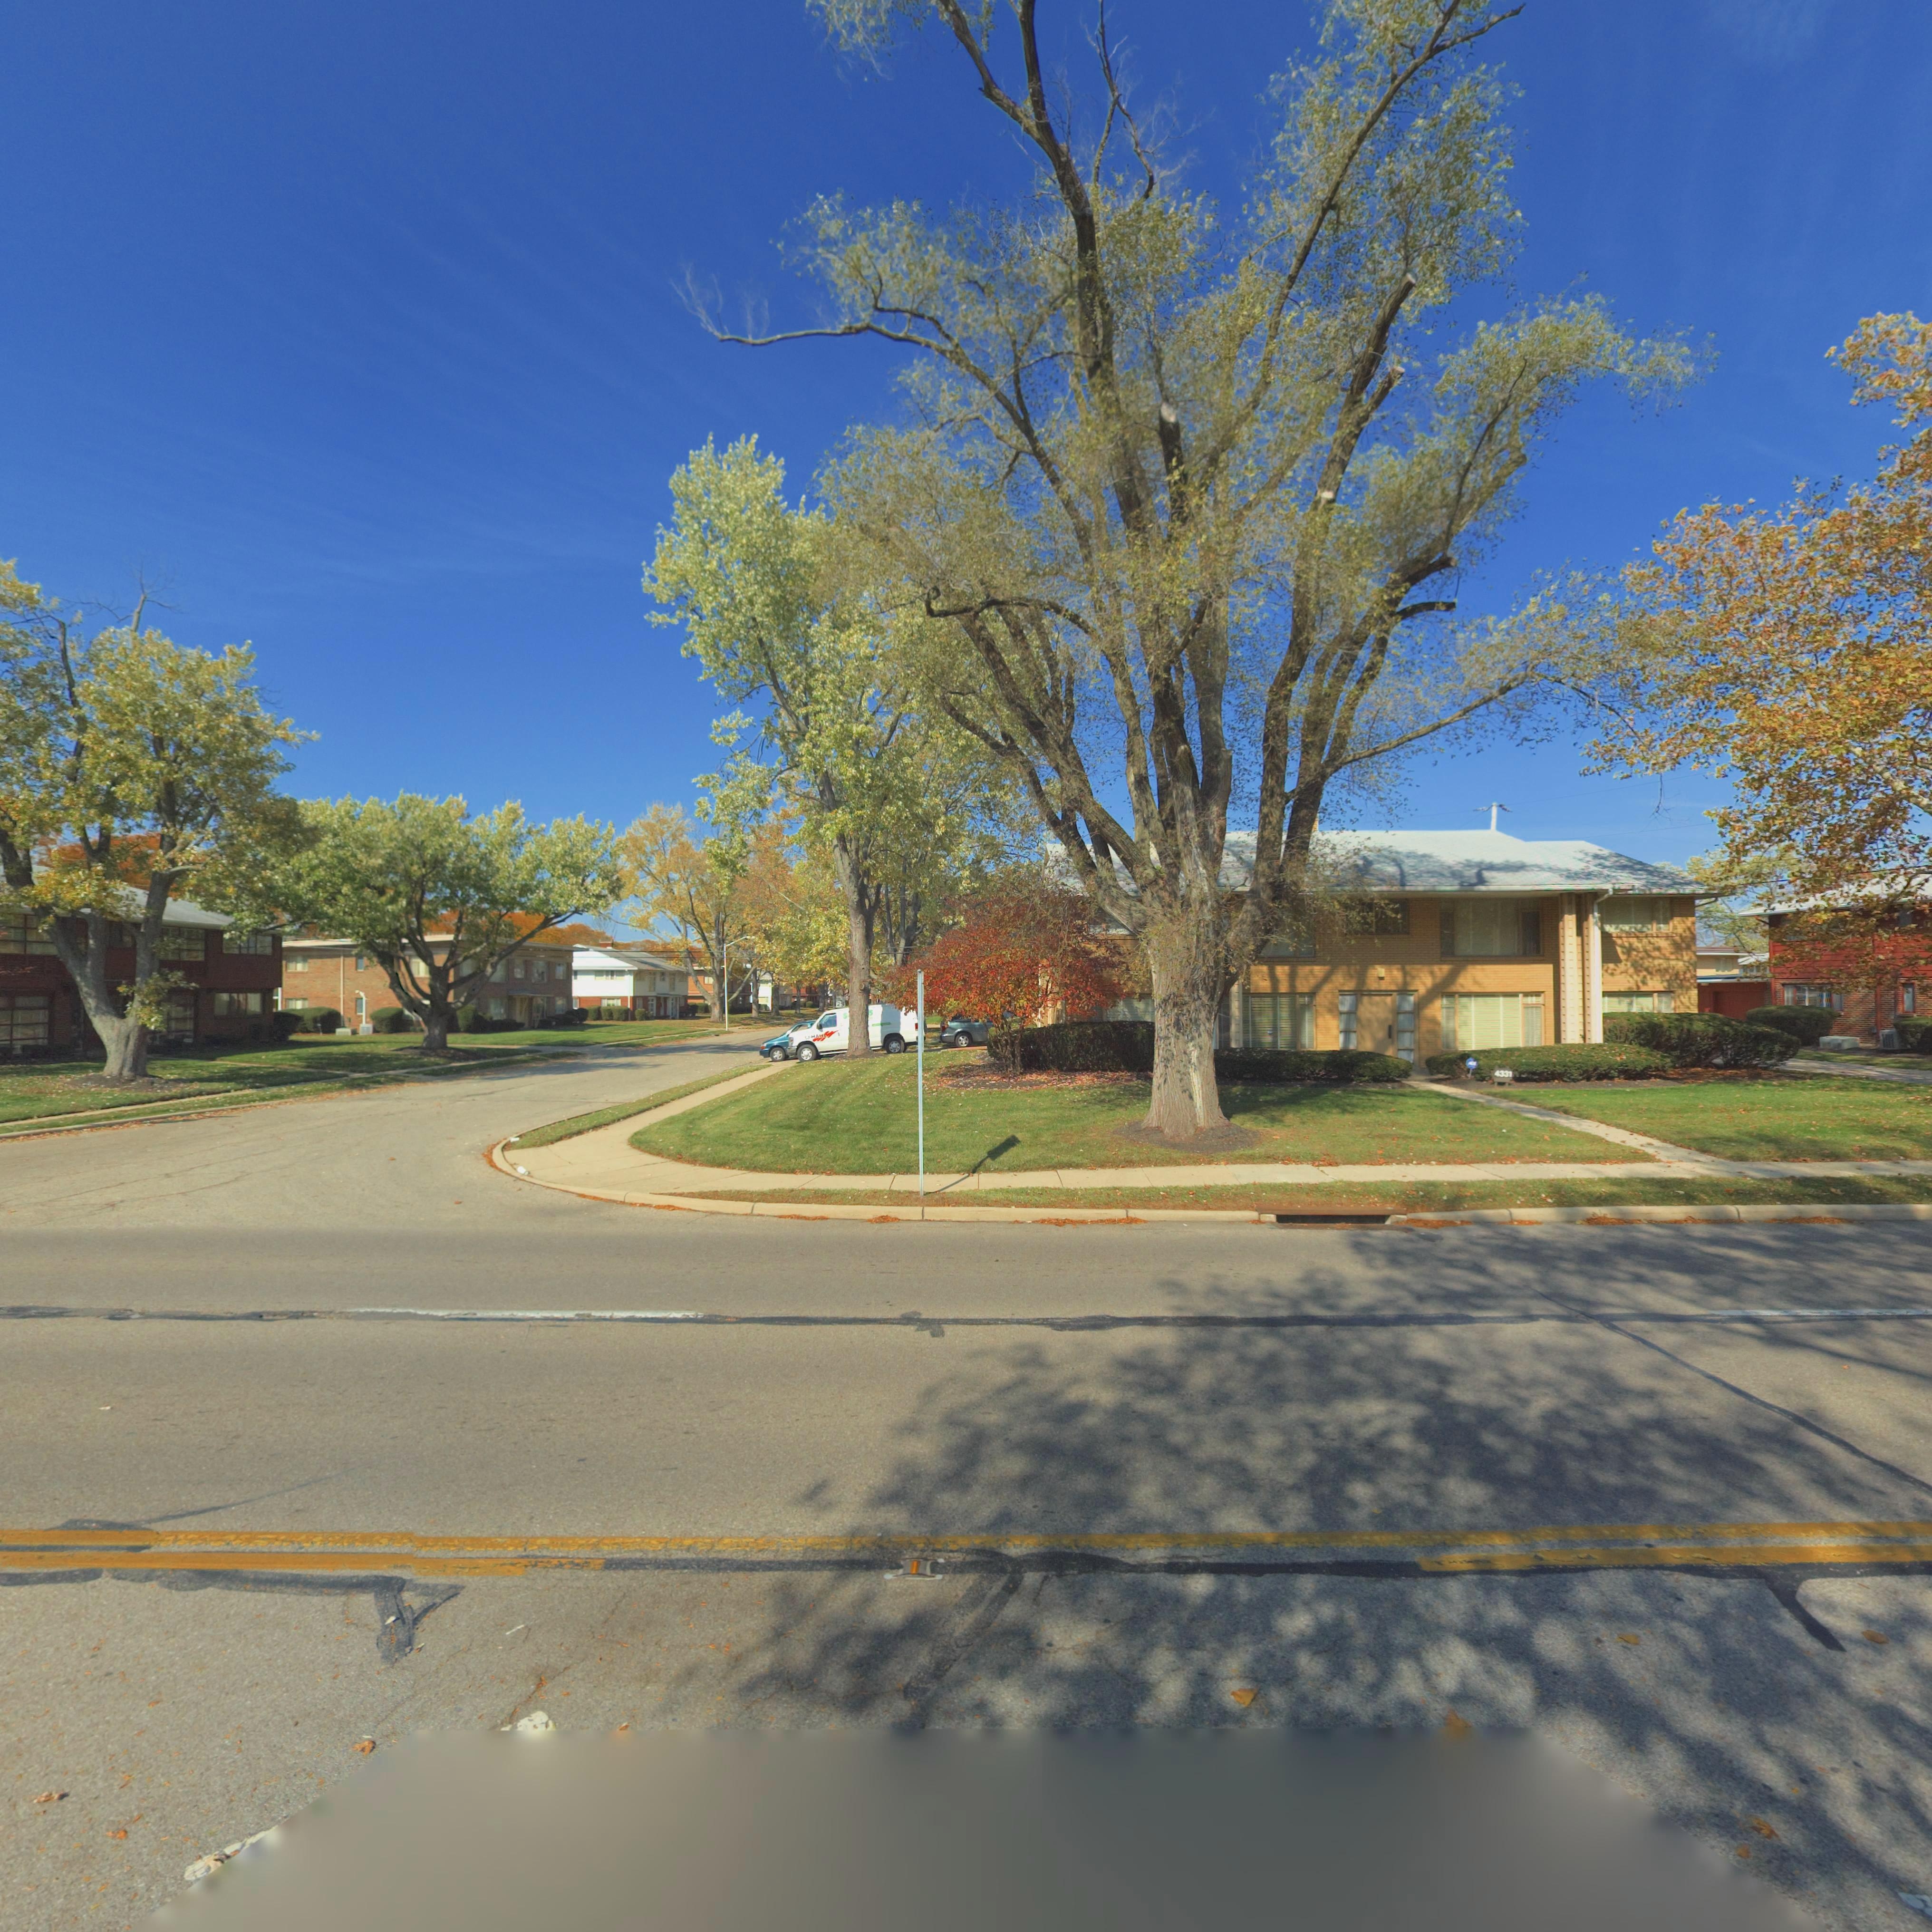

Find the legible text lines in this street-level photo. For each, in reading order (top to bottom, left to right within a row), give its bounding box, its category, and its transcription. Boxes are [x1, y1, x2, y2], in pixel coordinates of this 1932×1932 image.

[1493, 1069, 1513, 1079] StreetNumber: 4331